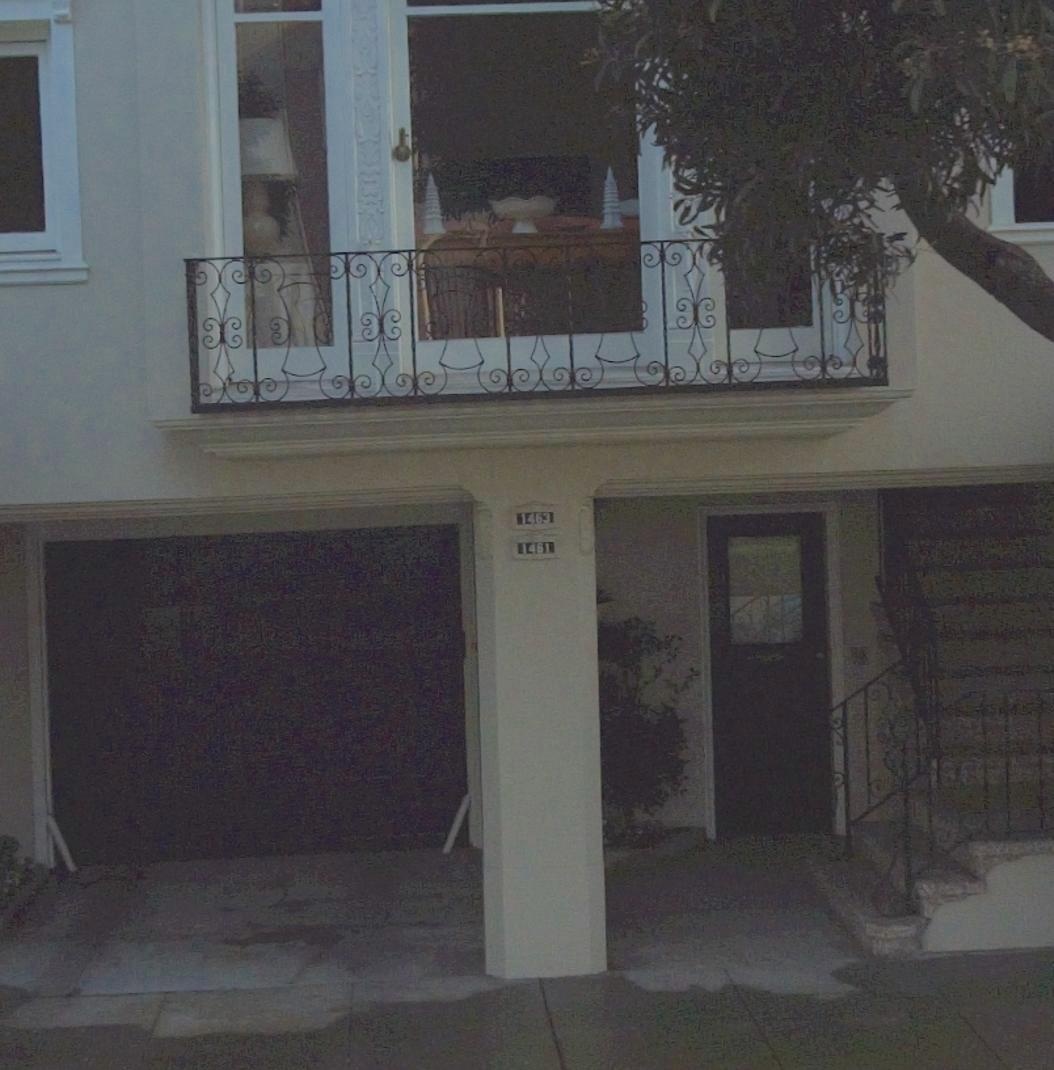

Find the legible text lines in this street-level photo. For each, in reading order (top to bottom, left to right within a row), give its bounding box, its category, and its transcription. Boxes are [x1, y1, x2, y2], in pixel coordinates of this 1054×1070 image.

[519, 510, 552, 527] StreetNumber: 1463
[519, 540, 552, 557] StreetNumber: 1461